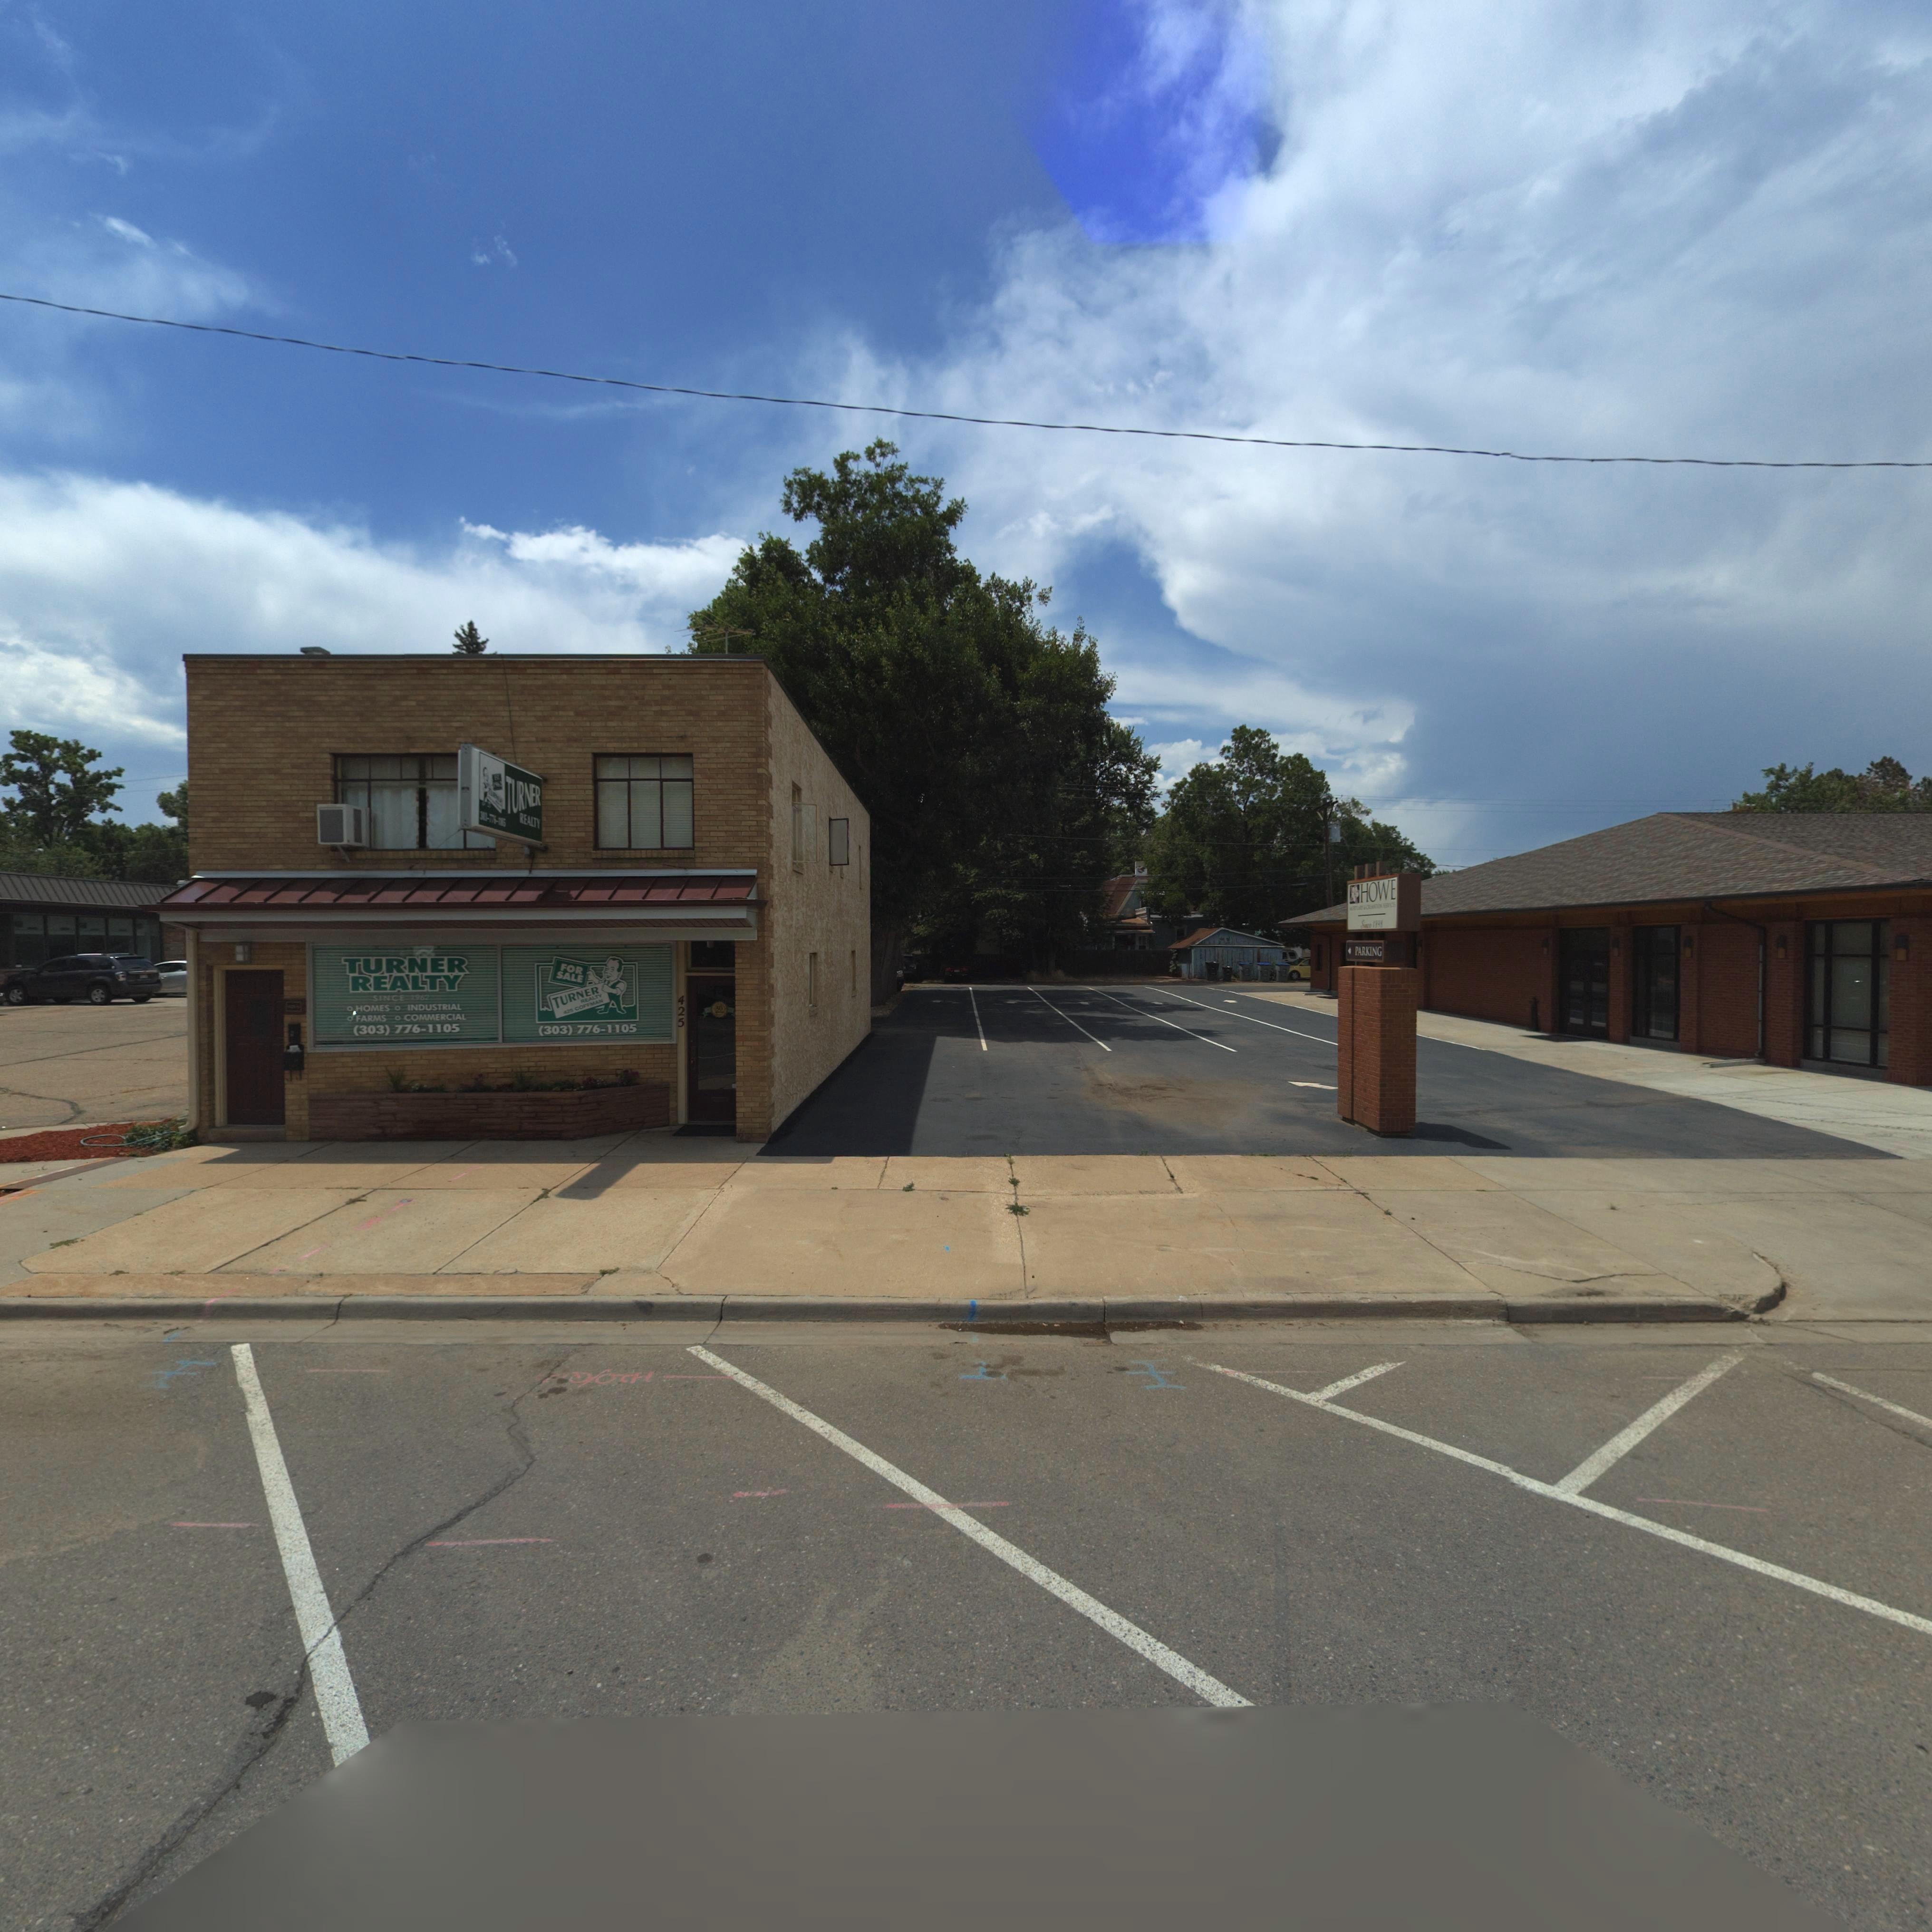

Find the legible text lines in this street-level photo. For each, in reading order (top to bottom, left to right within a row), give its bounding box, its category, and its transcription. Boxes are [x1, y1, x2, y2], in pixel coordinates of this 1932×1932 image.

[505, 775, 541, 815] BusinessName: TURNER
[520, 812, 541, 829] BusinessName: REALTY
[1360, 879, 1396, 903] BusinessName: HOWE
[342, 956, 467, 974] BusinessName: TURNER
[563, 1008, 574, 1015] StreetNumber: 425
[551, 985, 599, 1009] BusinessName: TURNER
[574, 998, 604, 1011] StreetName: COFFMAN
[580, 993, 601, 1004] BusinessName: REALTY
[677, 995, 685, 1027] StreetNumber: 425